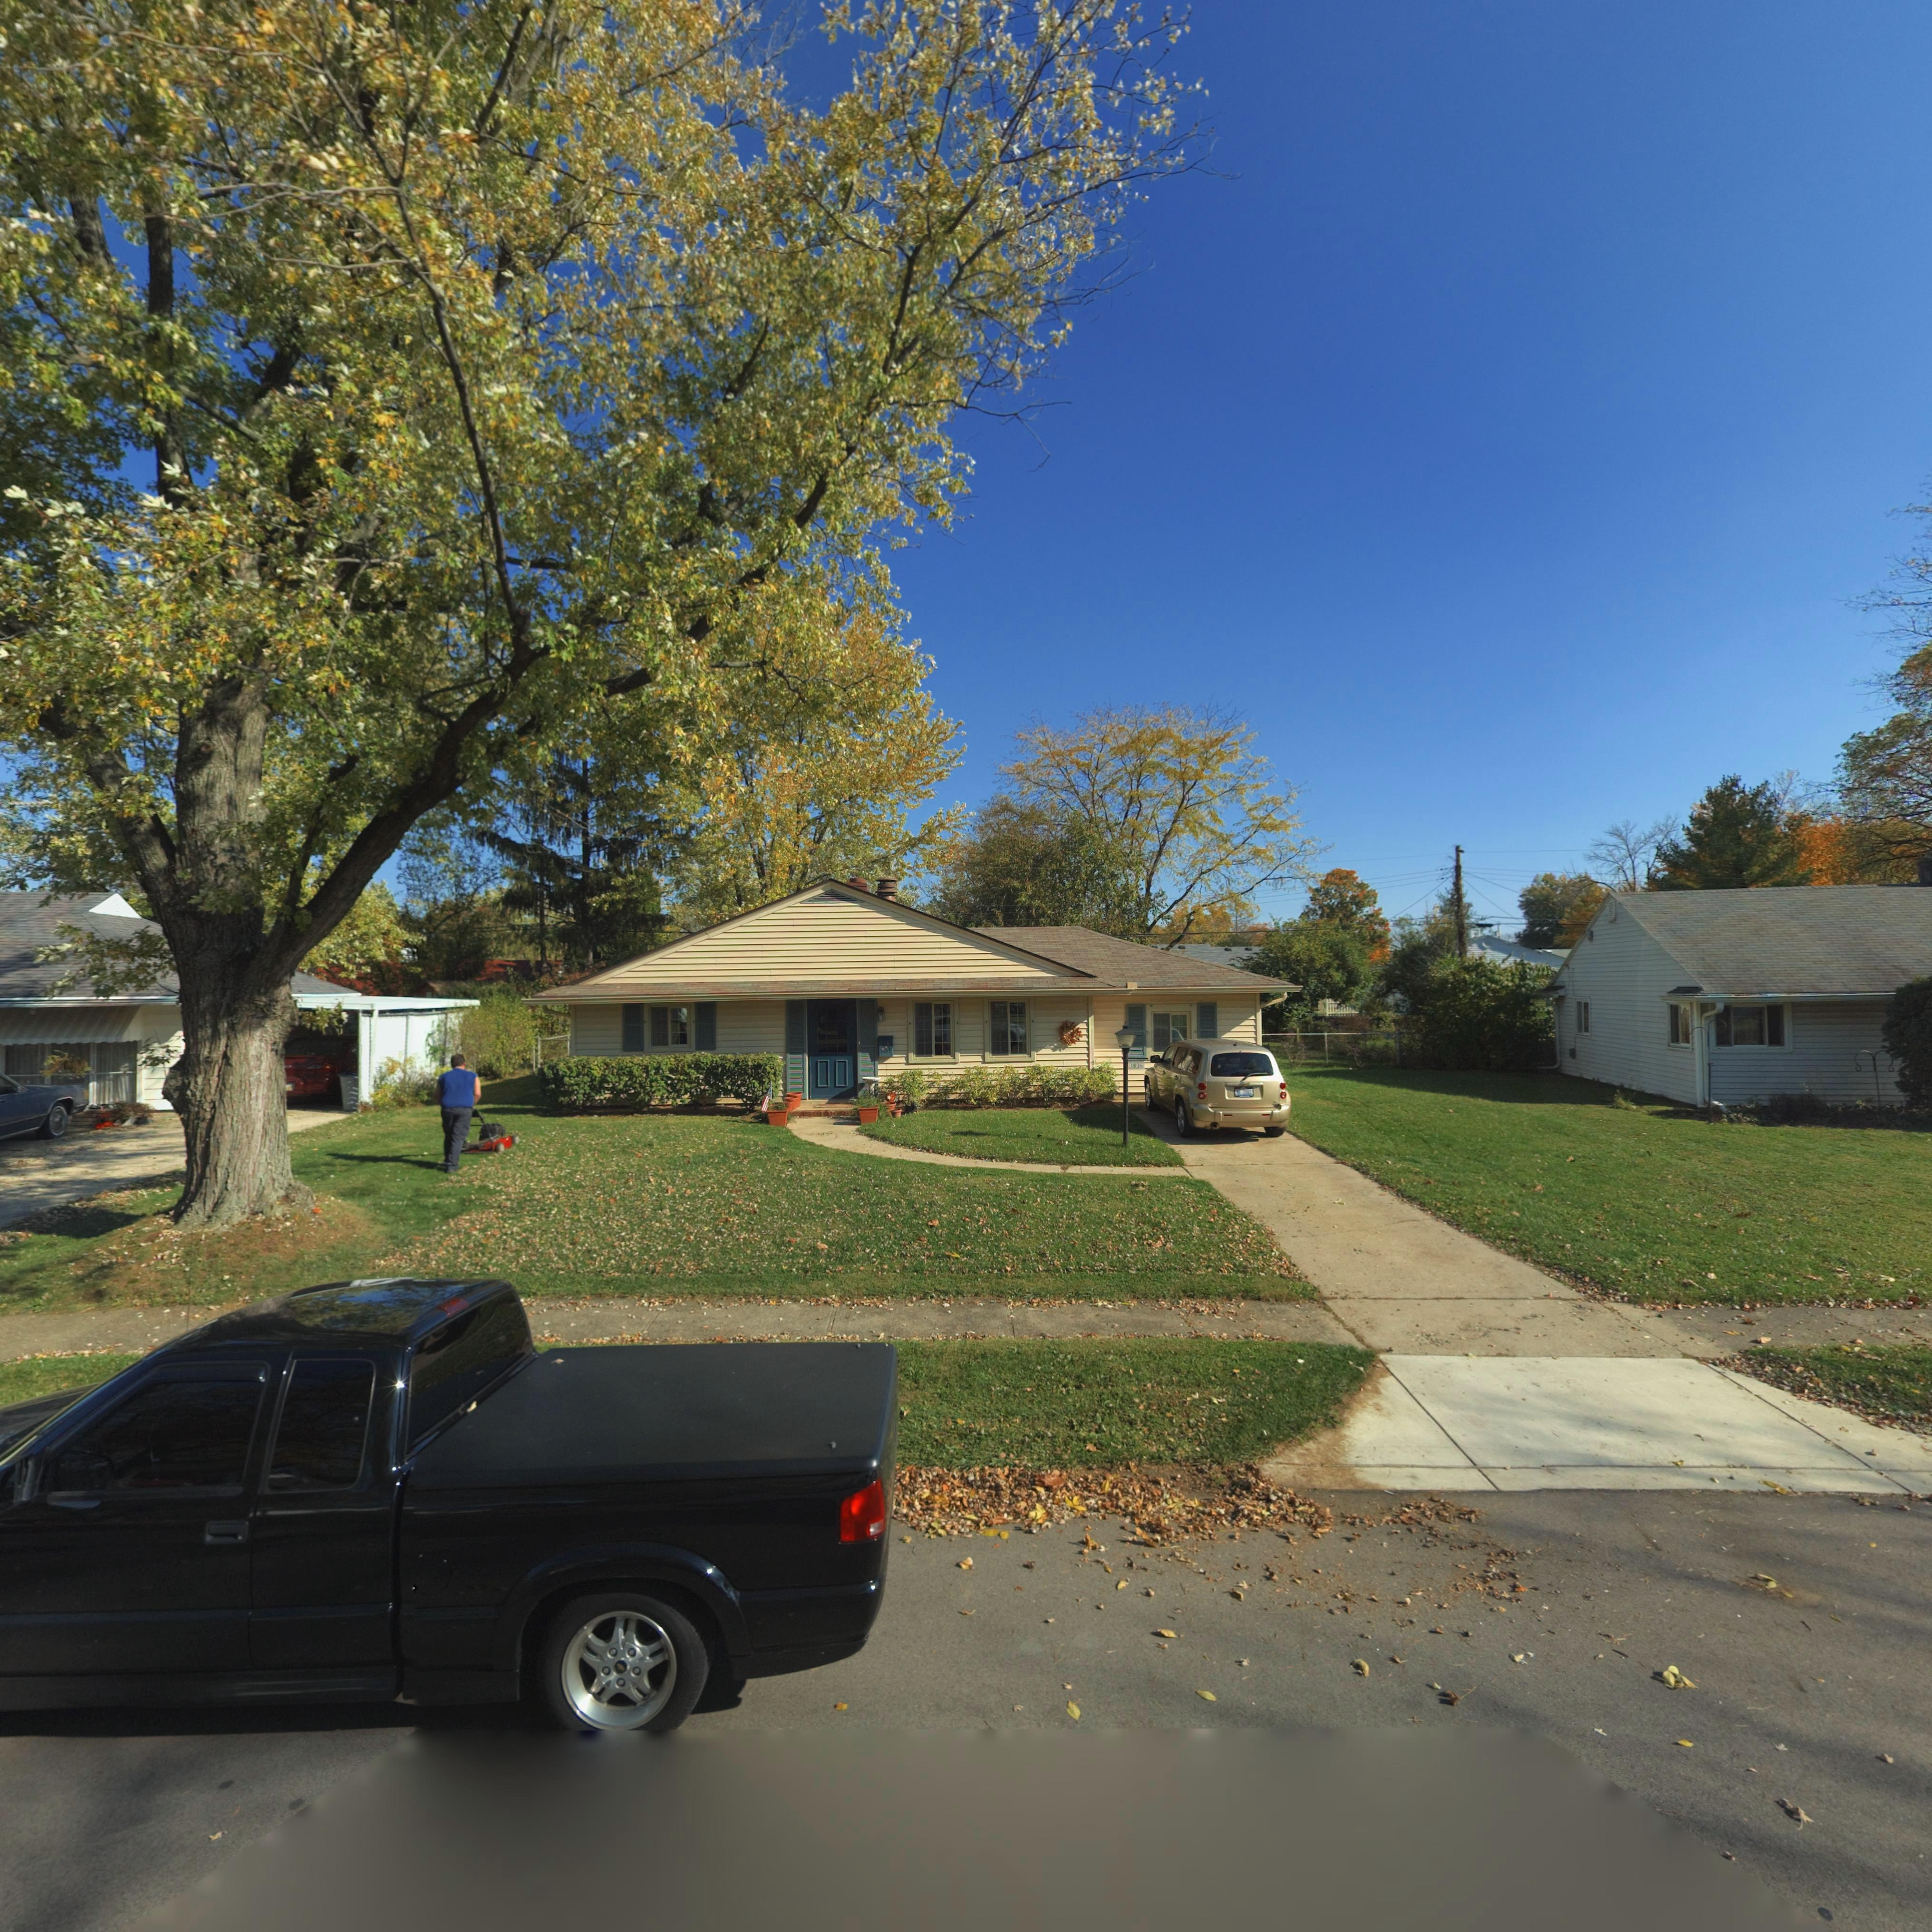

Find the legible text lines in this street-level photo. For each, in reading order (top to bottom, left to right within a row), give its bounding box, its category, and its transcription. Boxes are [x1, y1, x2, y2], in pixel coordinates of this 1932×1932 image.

[1128, 1063, 1143, 1068] StreetNumber: 3836